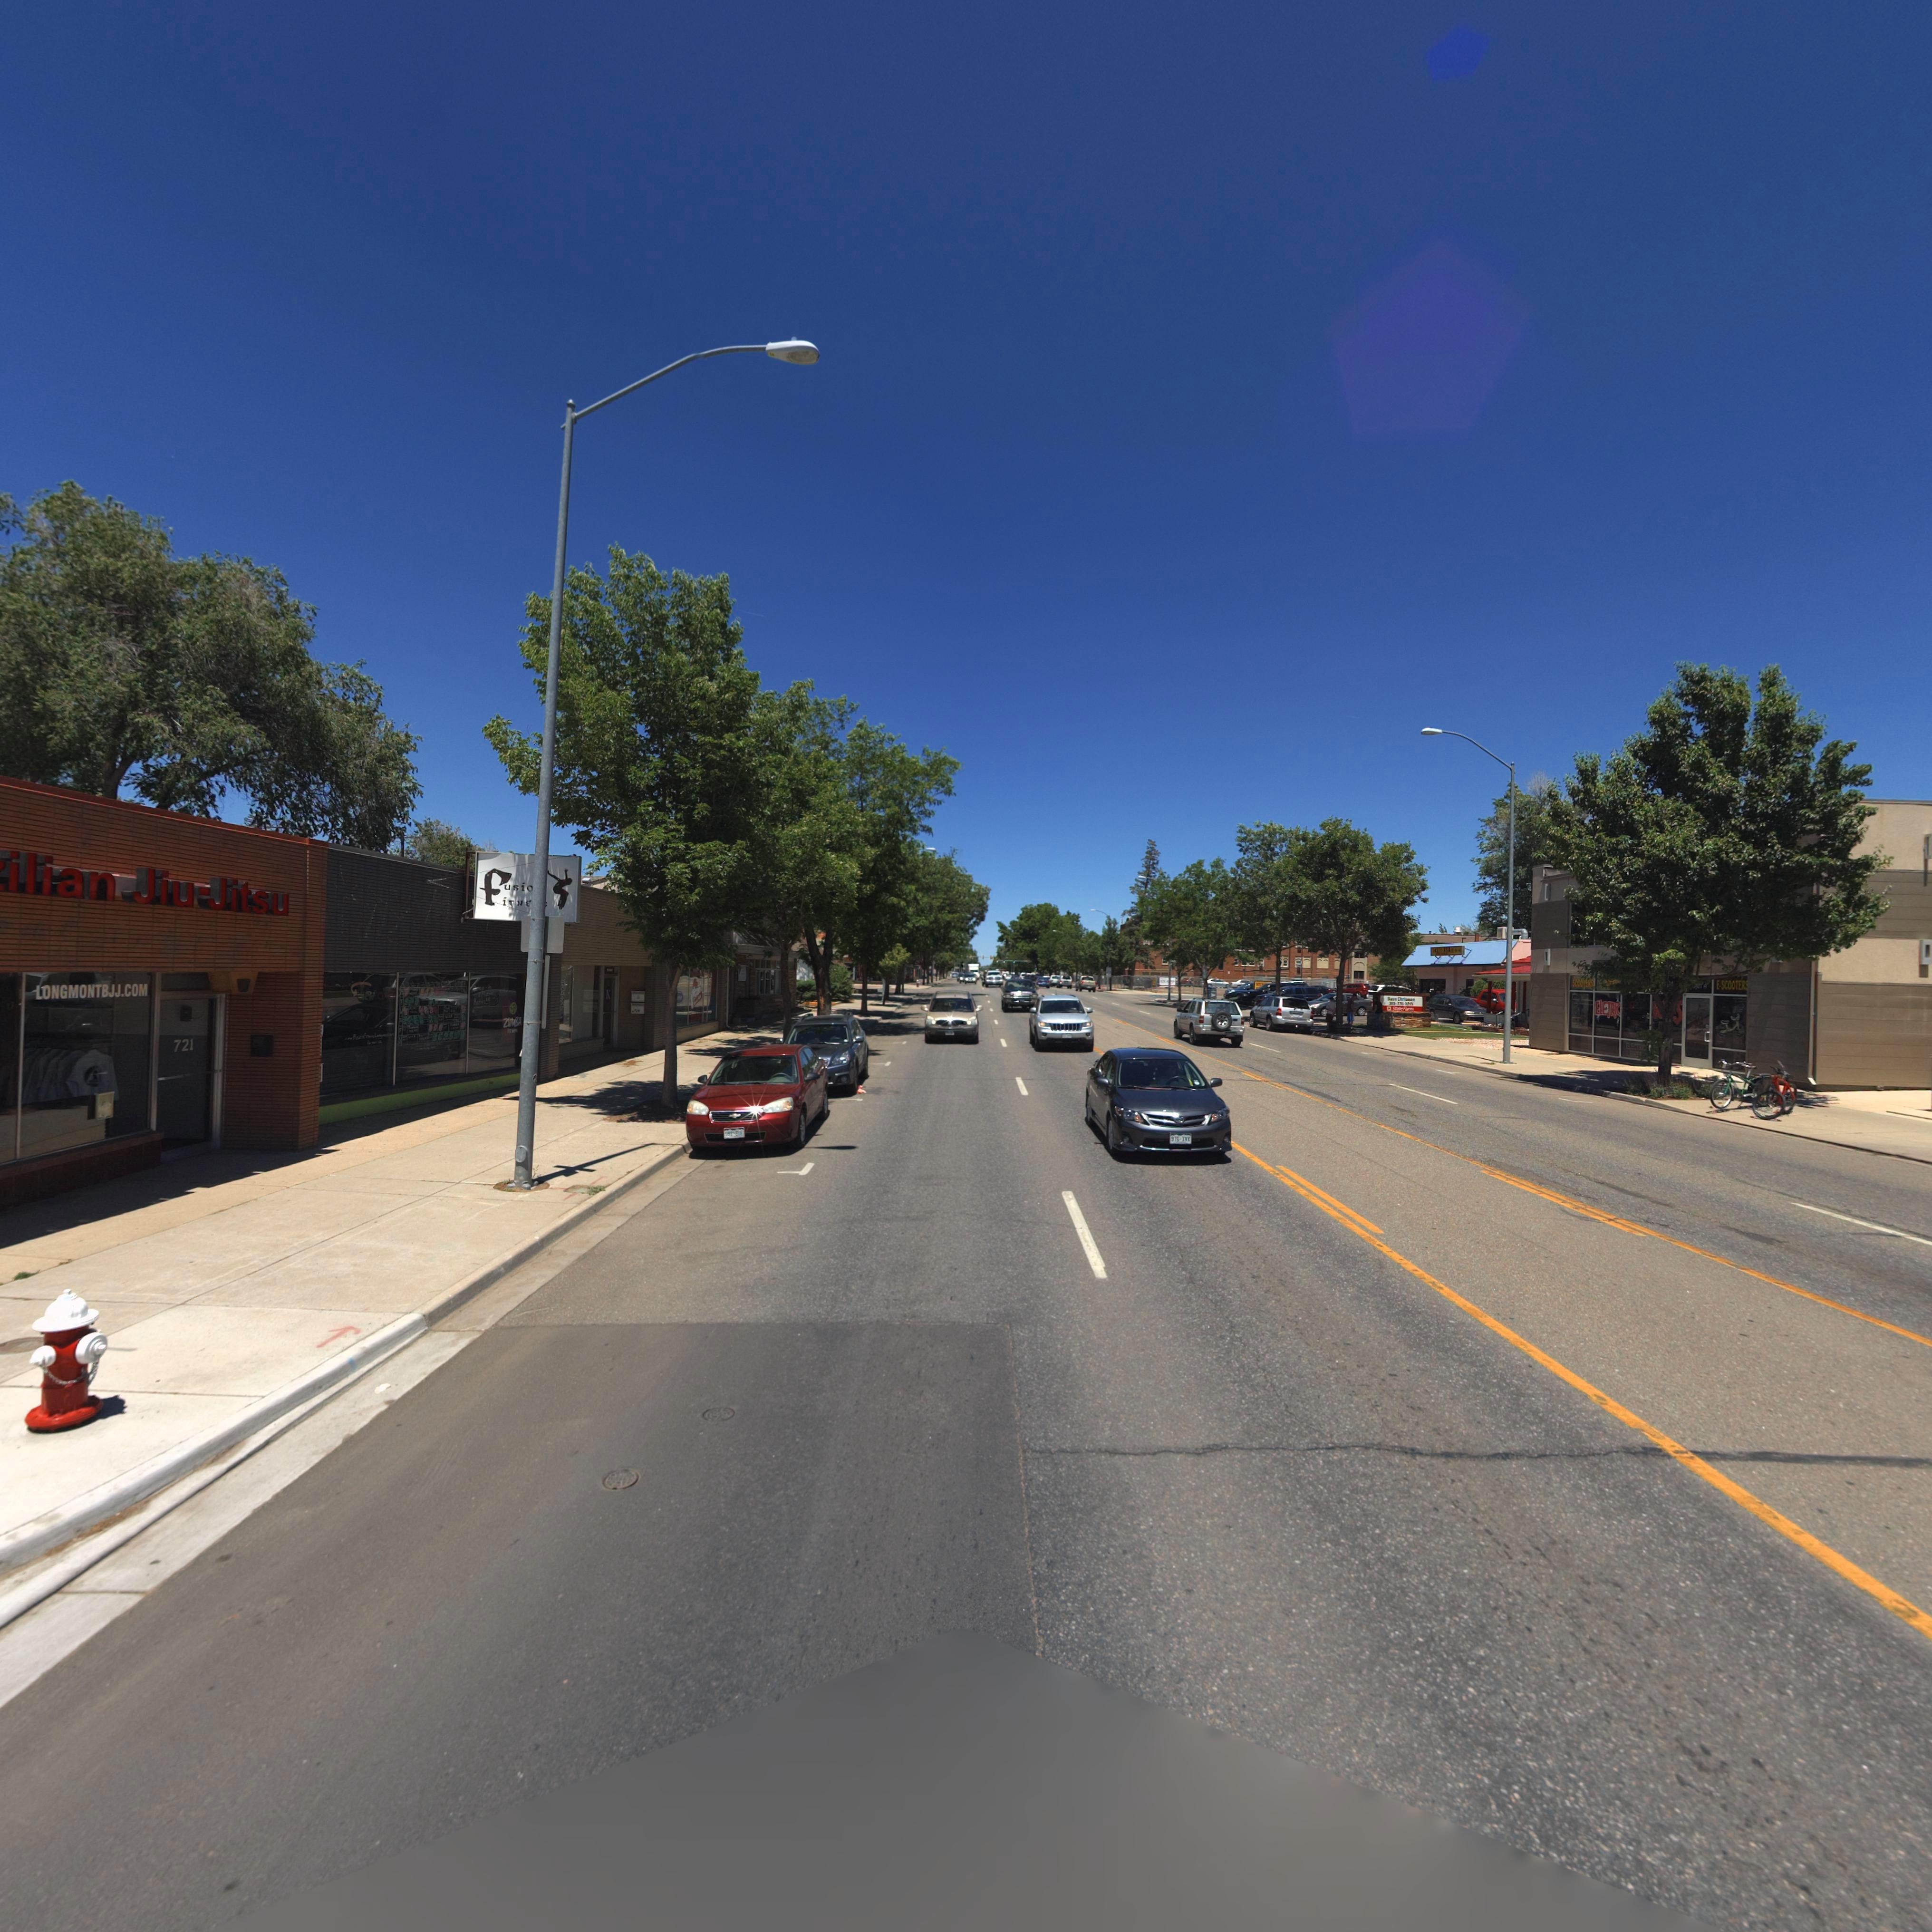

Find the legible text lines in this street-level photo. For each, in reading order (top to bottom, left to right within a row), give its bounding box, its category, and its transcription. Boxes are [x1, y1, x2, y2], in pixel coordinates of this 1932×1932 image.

[479, 868, 512, 906] BusinessName: f
[504, 882, 533, 892] BusinessName: usio
[502, 897, 548, 907] BusinessName: iTNE**
[1431, 947, 1451, 953] BusinessName: TAST* ASI*
[1692, 983, 1707, 989] SecondaryUnitDesignator: *NIT A
[634, 1008, 639, 1012] StreetNumber: *21
[1392, 1005, 1413, 1010] BusinessName: State F*rm
[174, 1038, 193, 1052] StreetNumber: 721